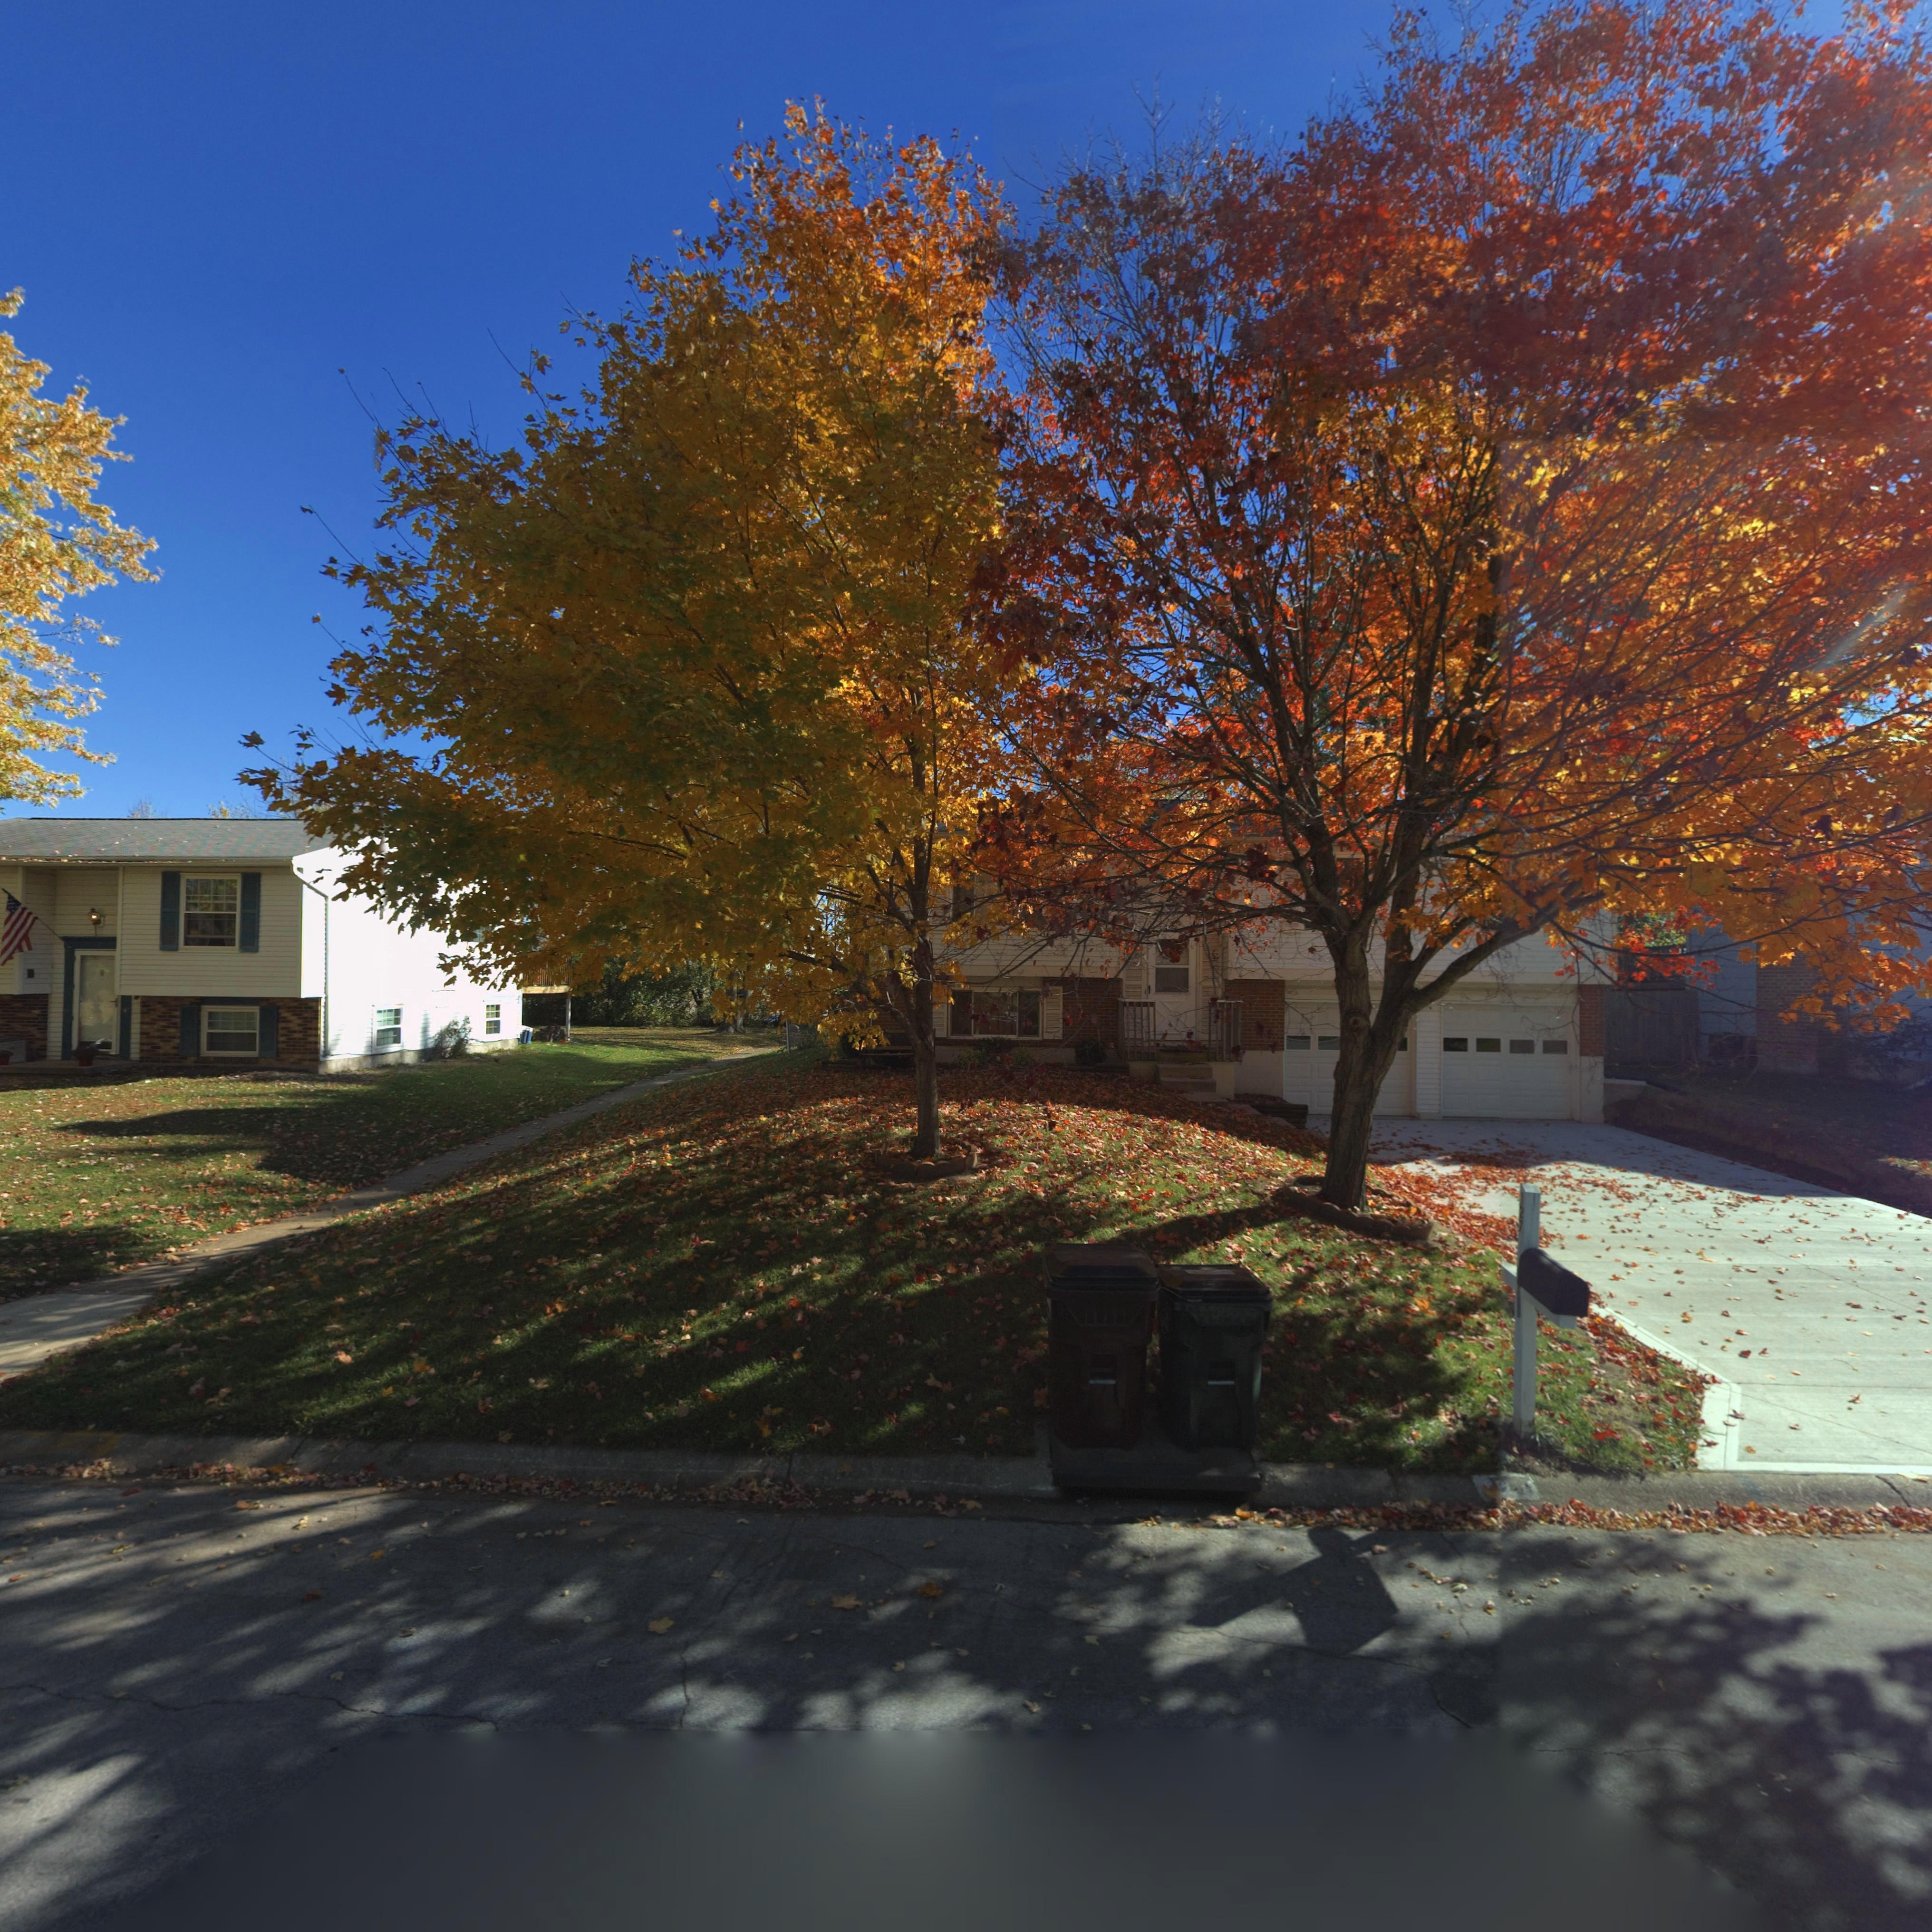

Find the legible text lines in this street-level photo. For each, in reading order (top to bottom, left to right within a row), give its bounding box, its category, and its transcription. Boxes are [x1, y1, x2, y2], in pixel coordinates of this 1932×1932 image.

[1517, 1191, 1526, 1232] StreetNumber: 127